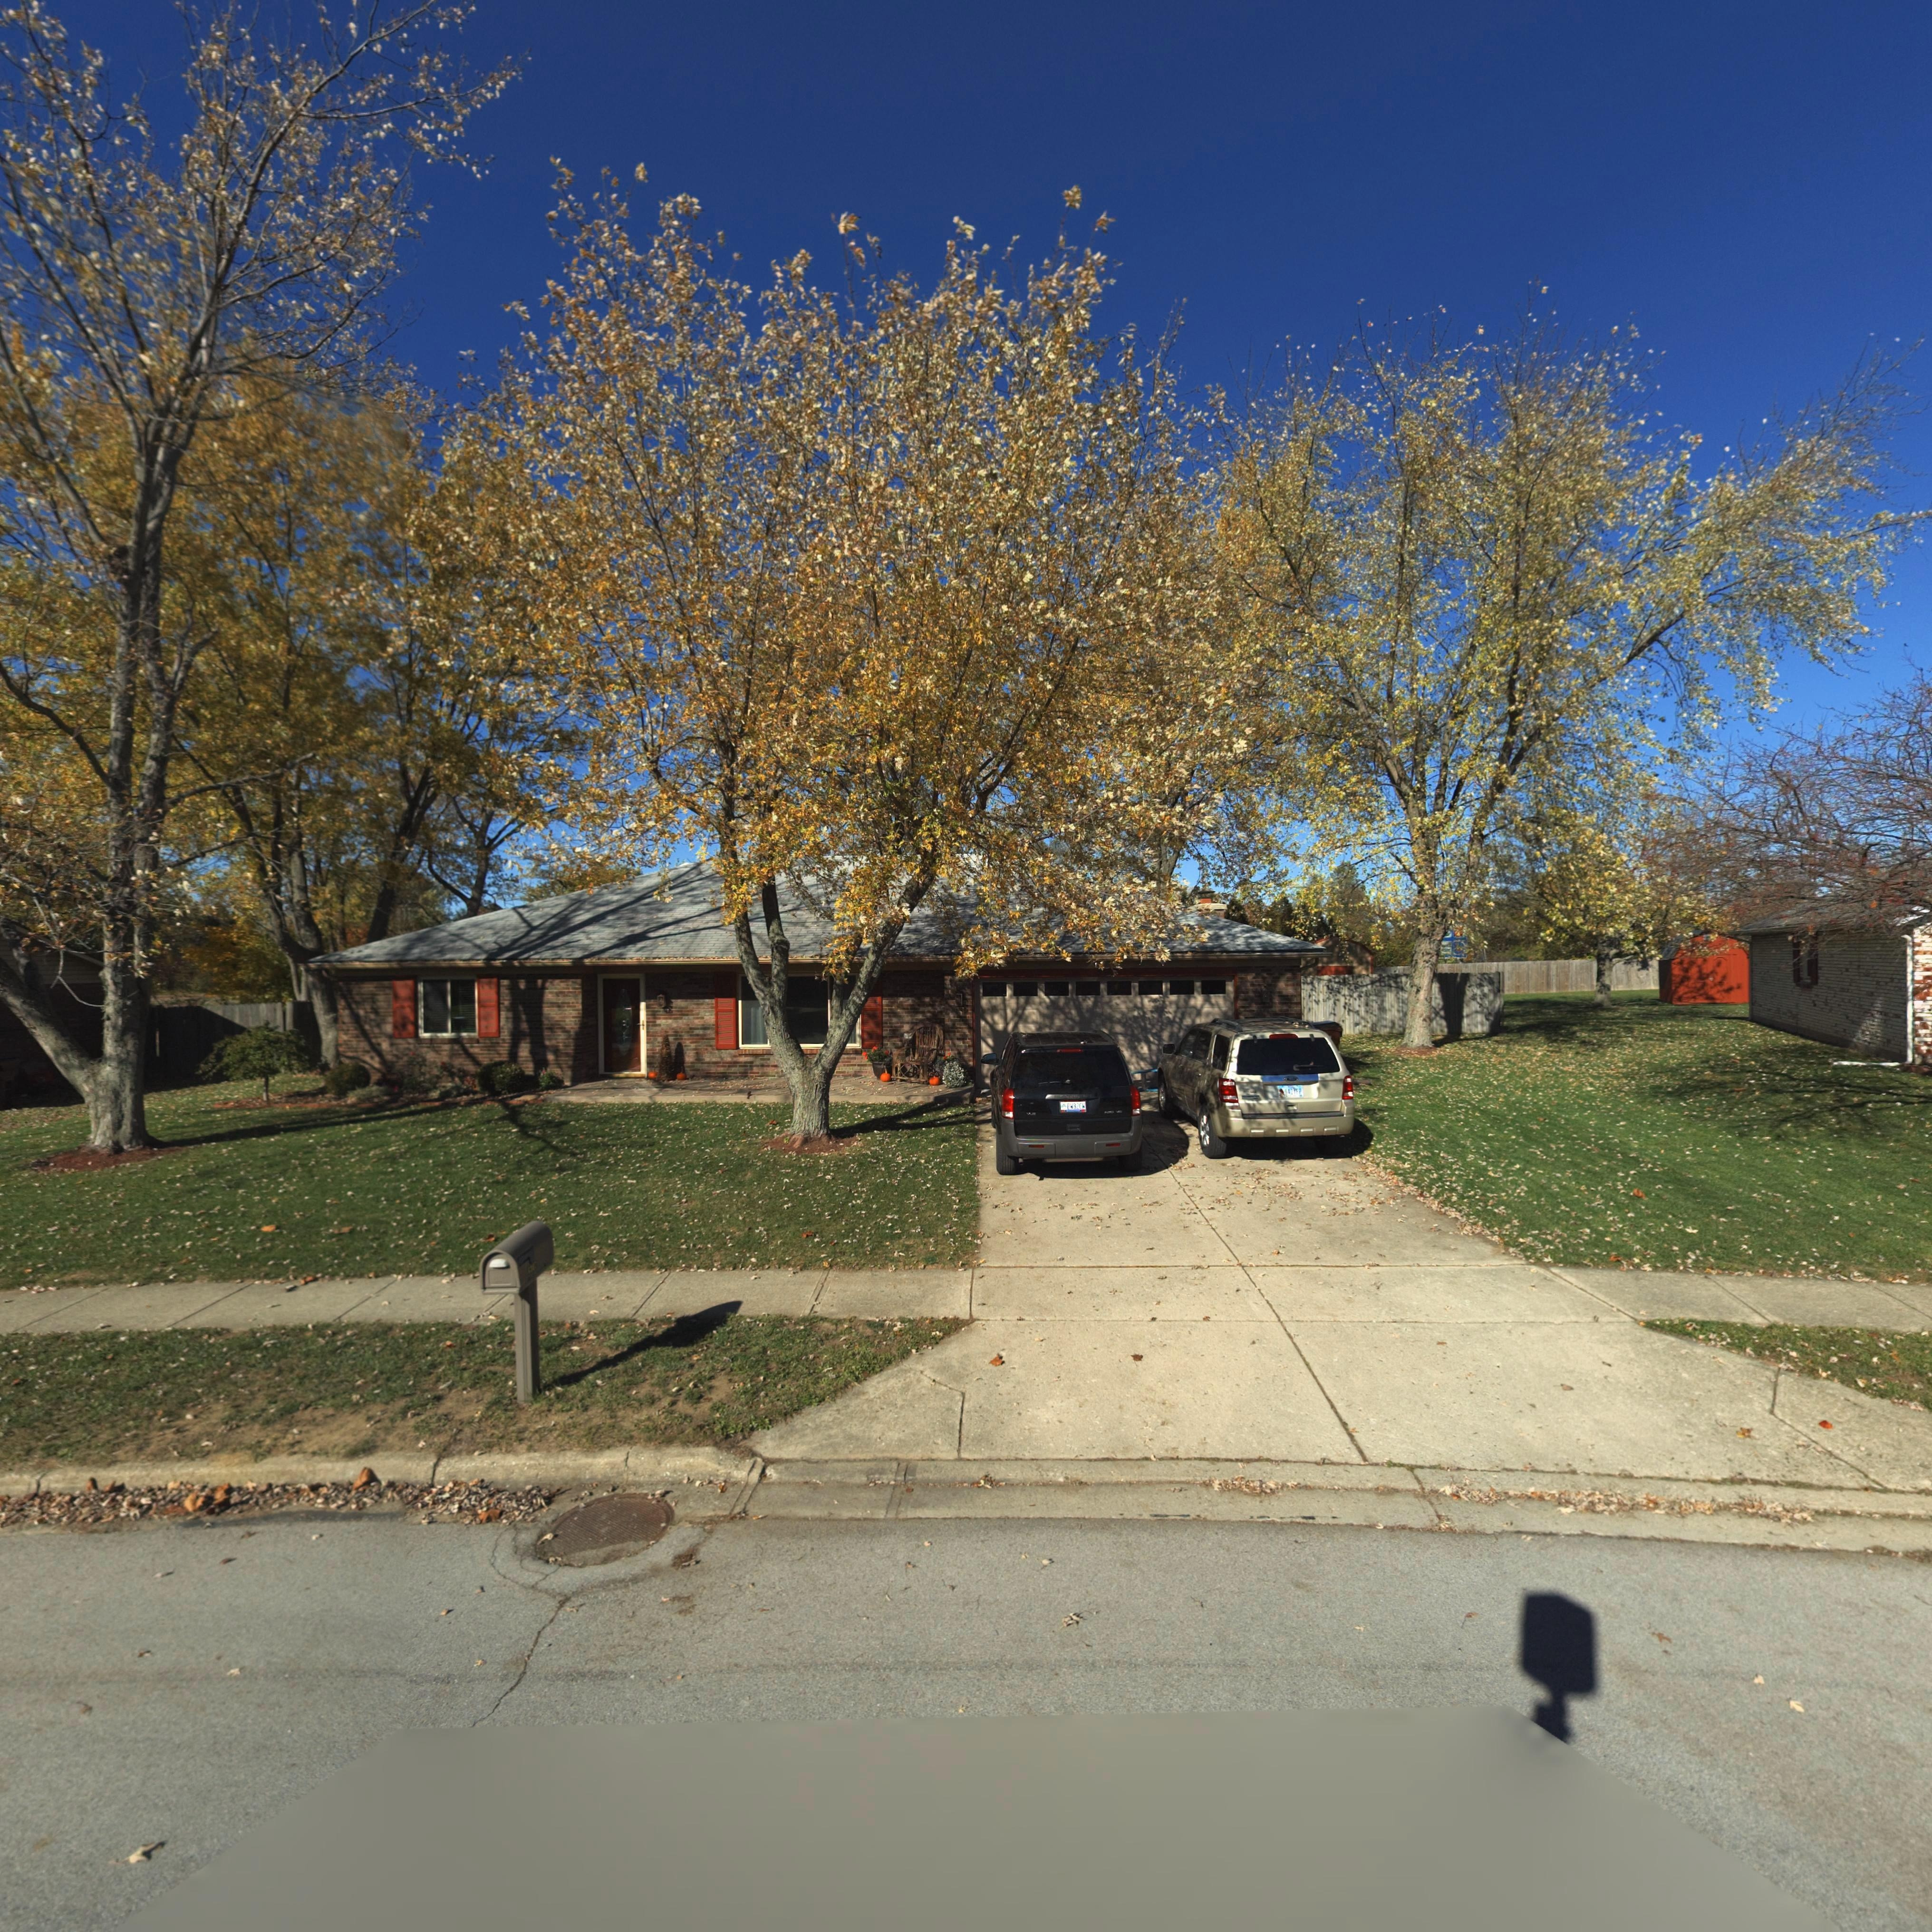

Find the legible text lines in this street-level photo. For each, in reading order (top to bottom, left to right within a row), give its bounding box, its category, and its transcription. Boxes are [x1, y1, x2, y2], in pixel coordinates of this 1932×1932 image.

[527, 1260, 538, 1275] StreetNumber: 4307